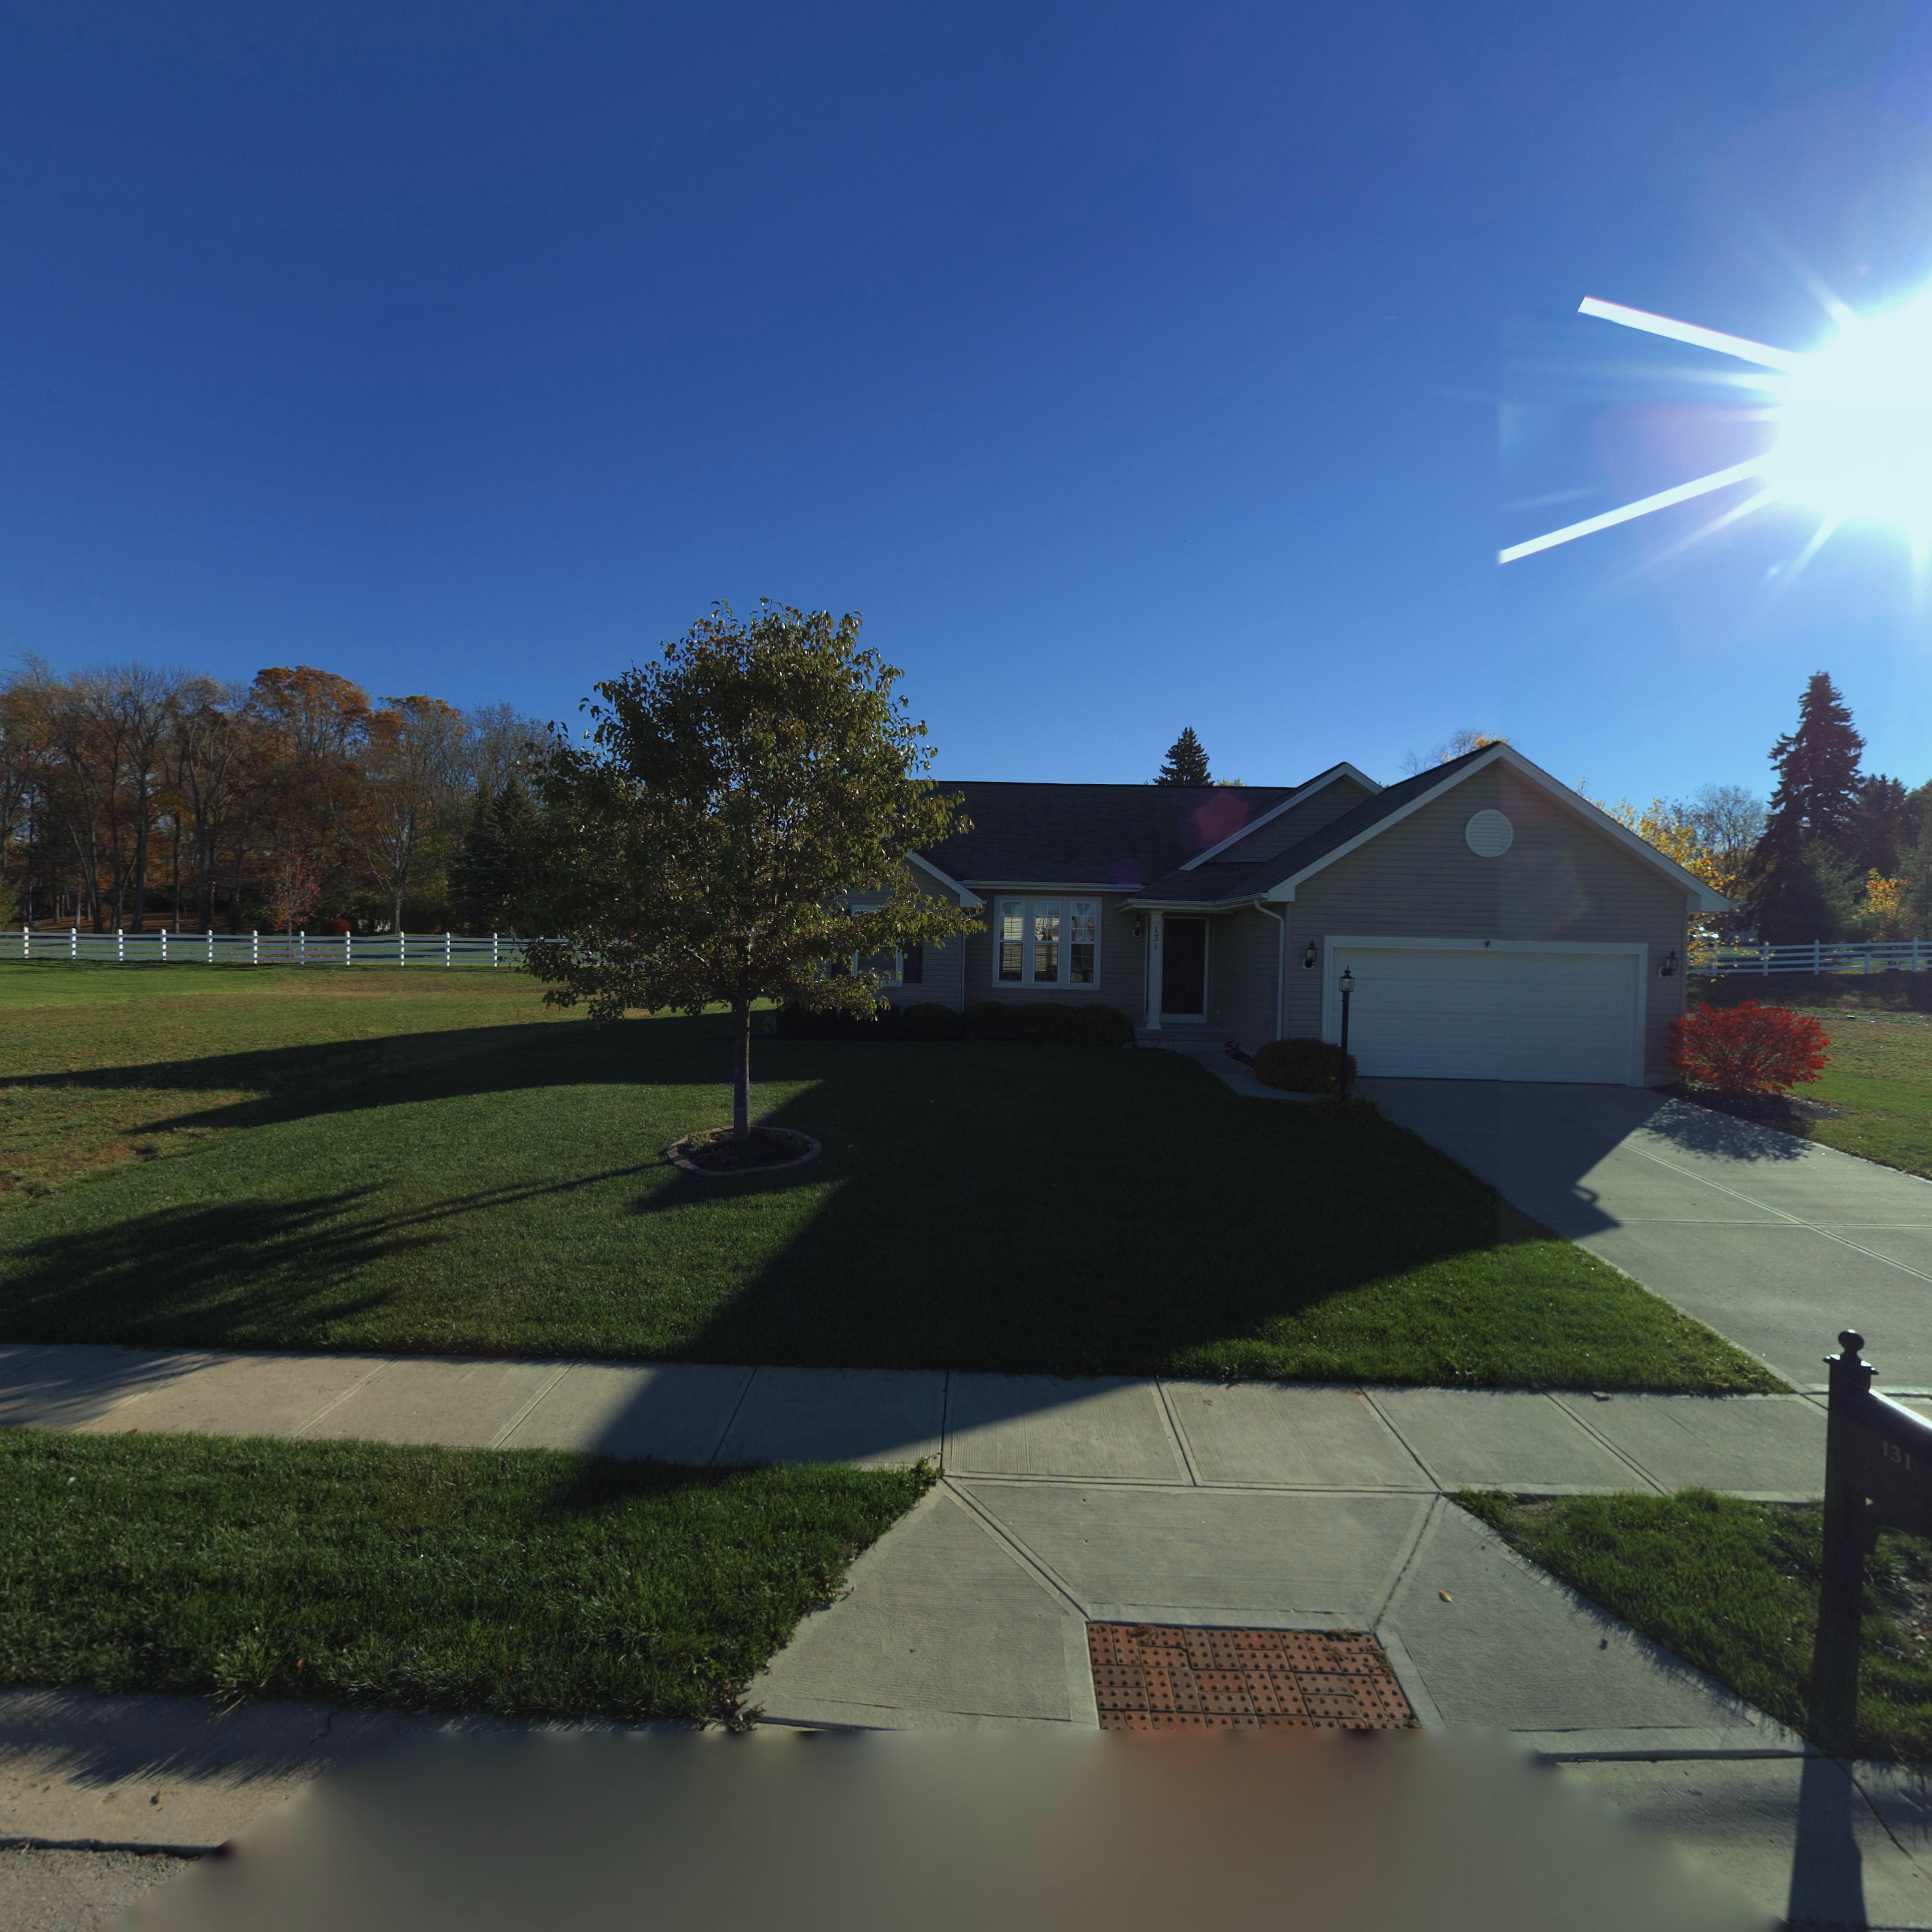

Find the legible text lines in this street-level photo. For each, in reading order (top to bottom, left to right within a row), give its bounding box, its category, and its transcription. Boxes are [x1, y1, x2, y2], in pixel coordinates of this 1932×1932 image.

[1153, 925, 1159, 951] StreetNumber: 131
[1881, 1437, 1911, 1473] StreetNumber: 131